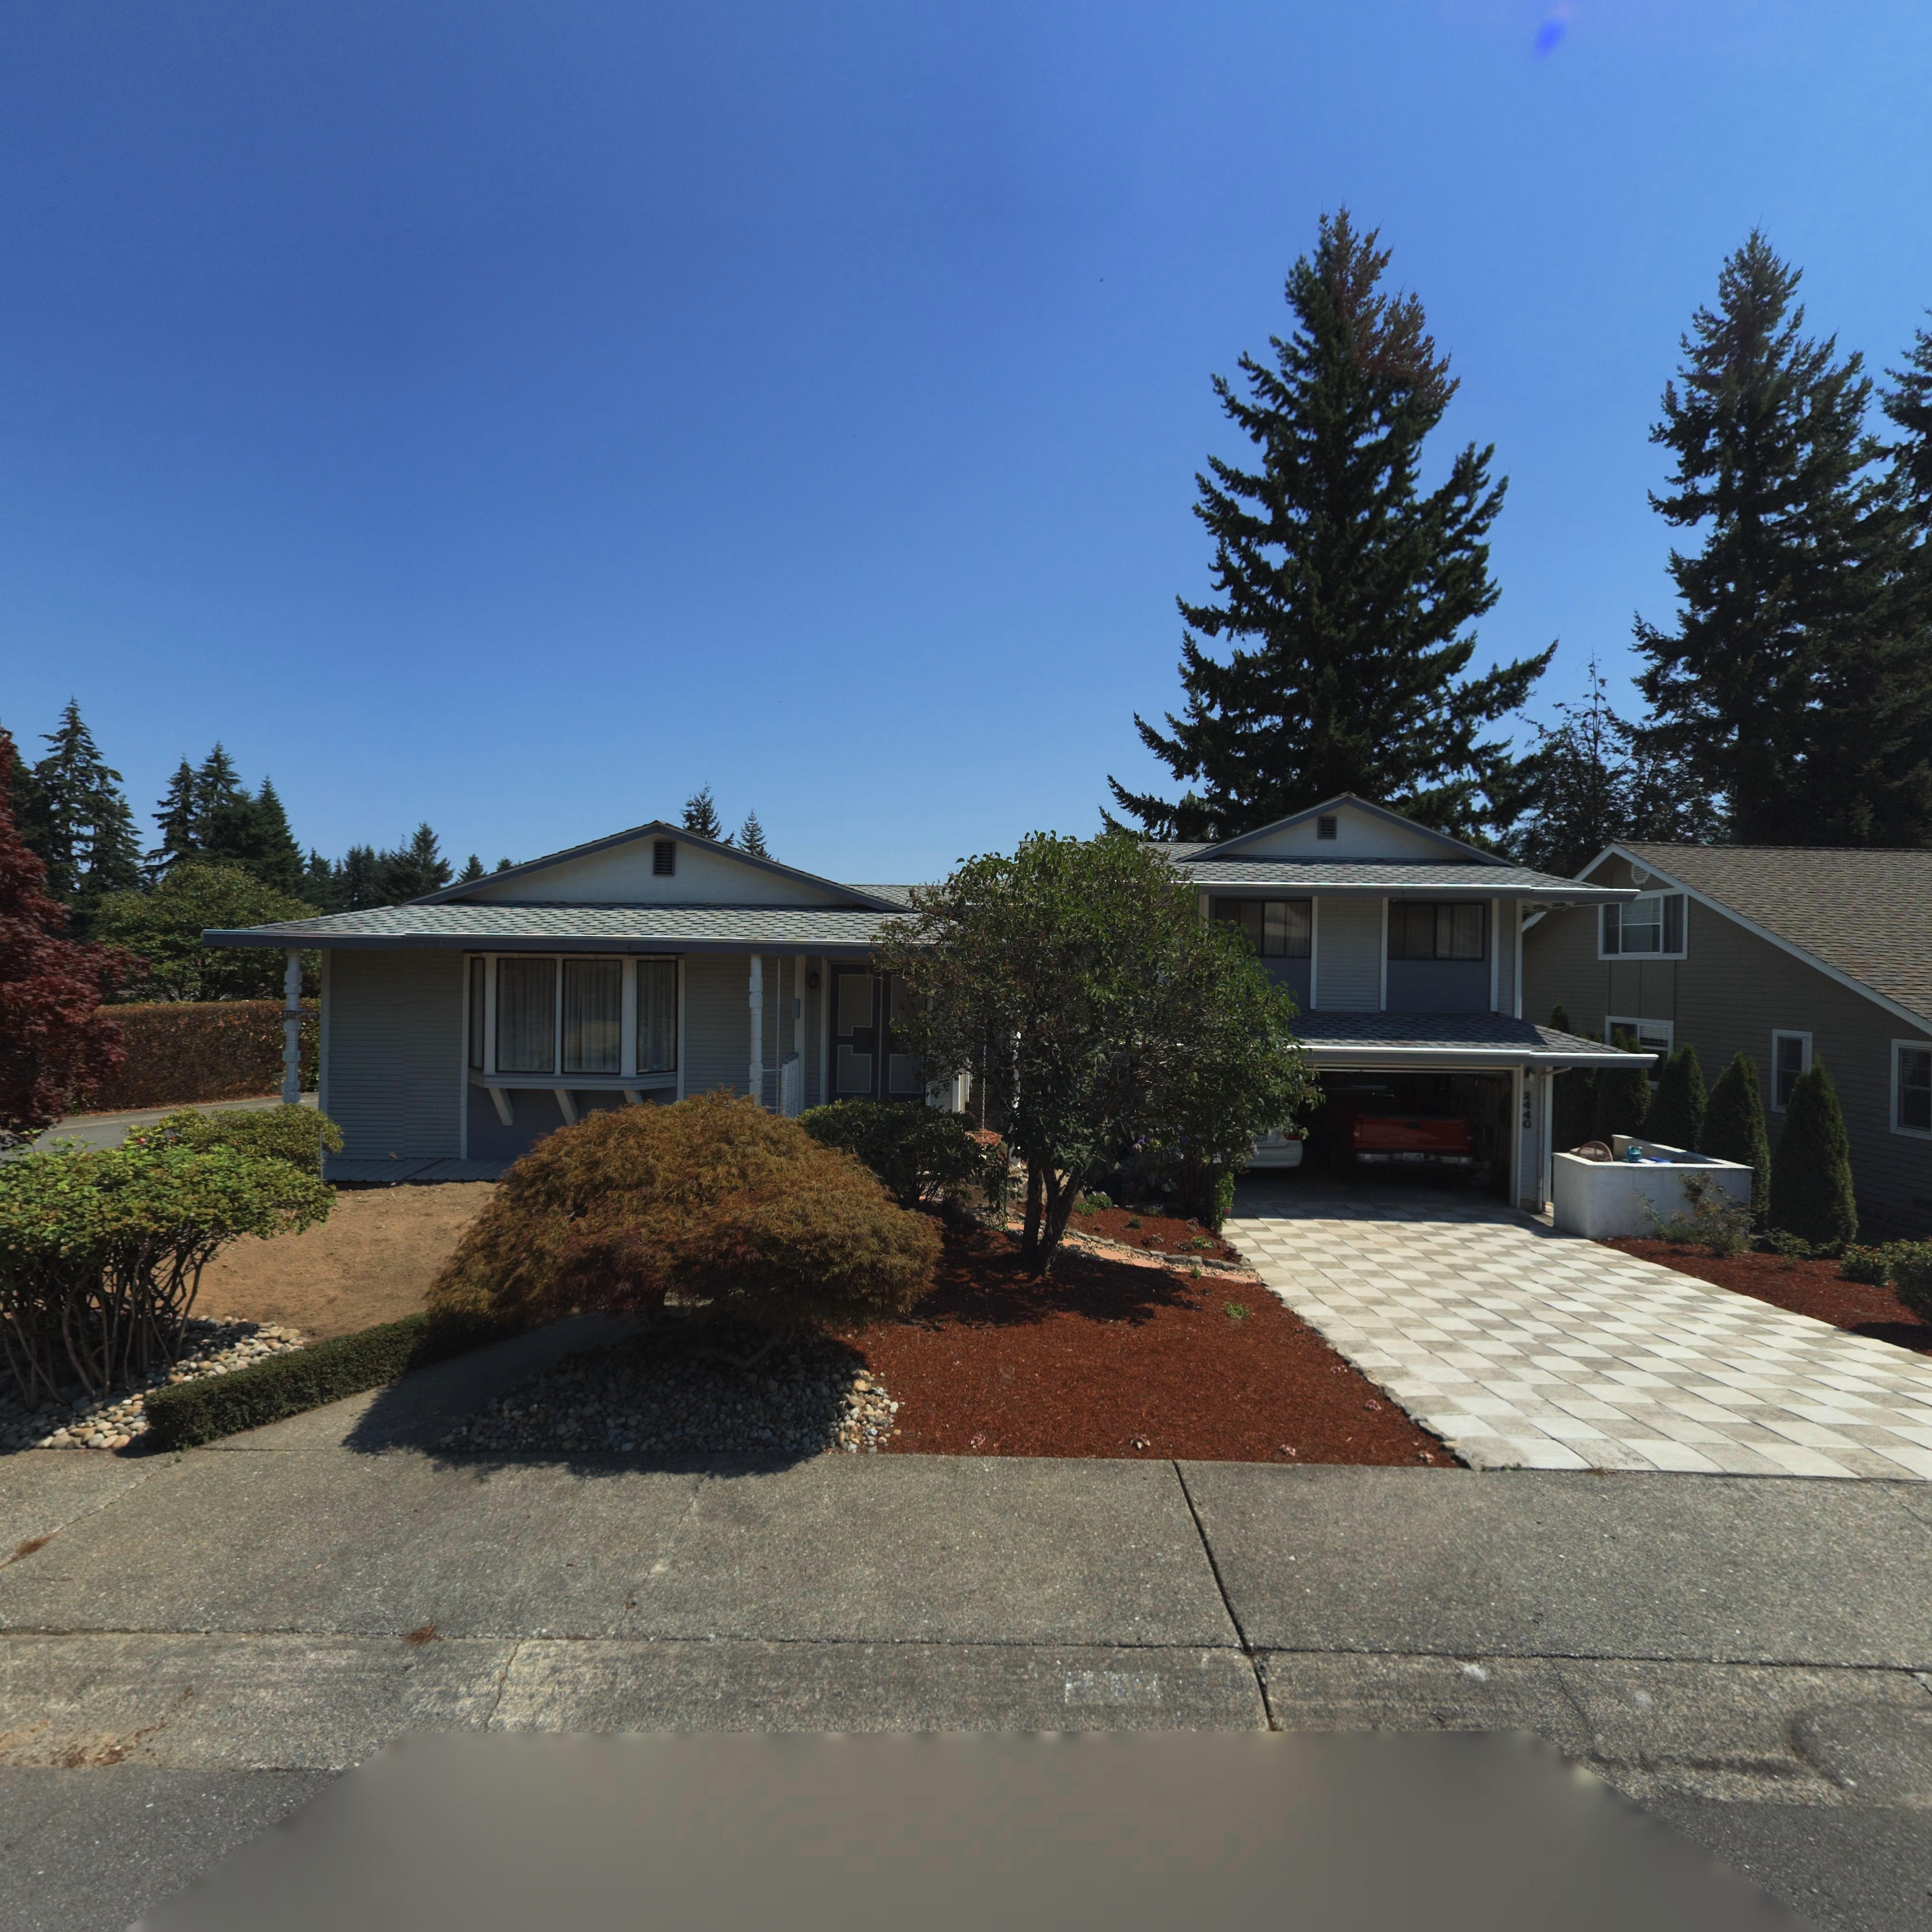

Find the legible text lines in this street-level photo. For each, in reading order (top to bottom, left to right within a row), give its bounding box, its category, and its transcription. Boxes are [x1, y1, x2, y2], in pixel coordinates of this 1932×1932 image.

[1523, 1092, 1531, 1128] StreetNumber: 2440